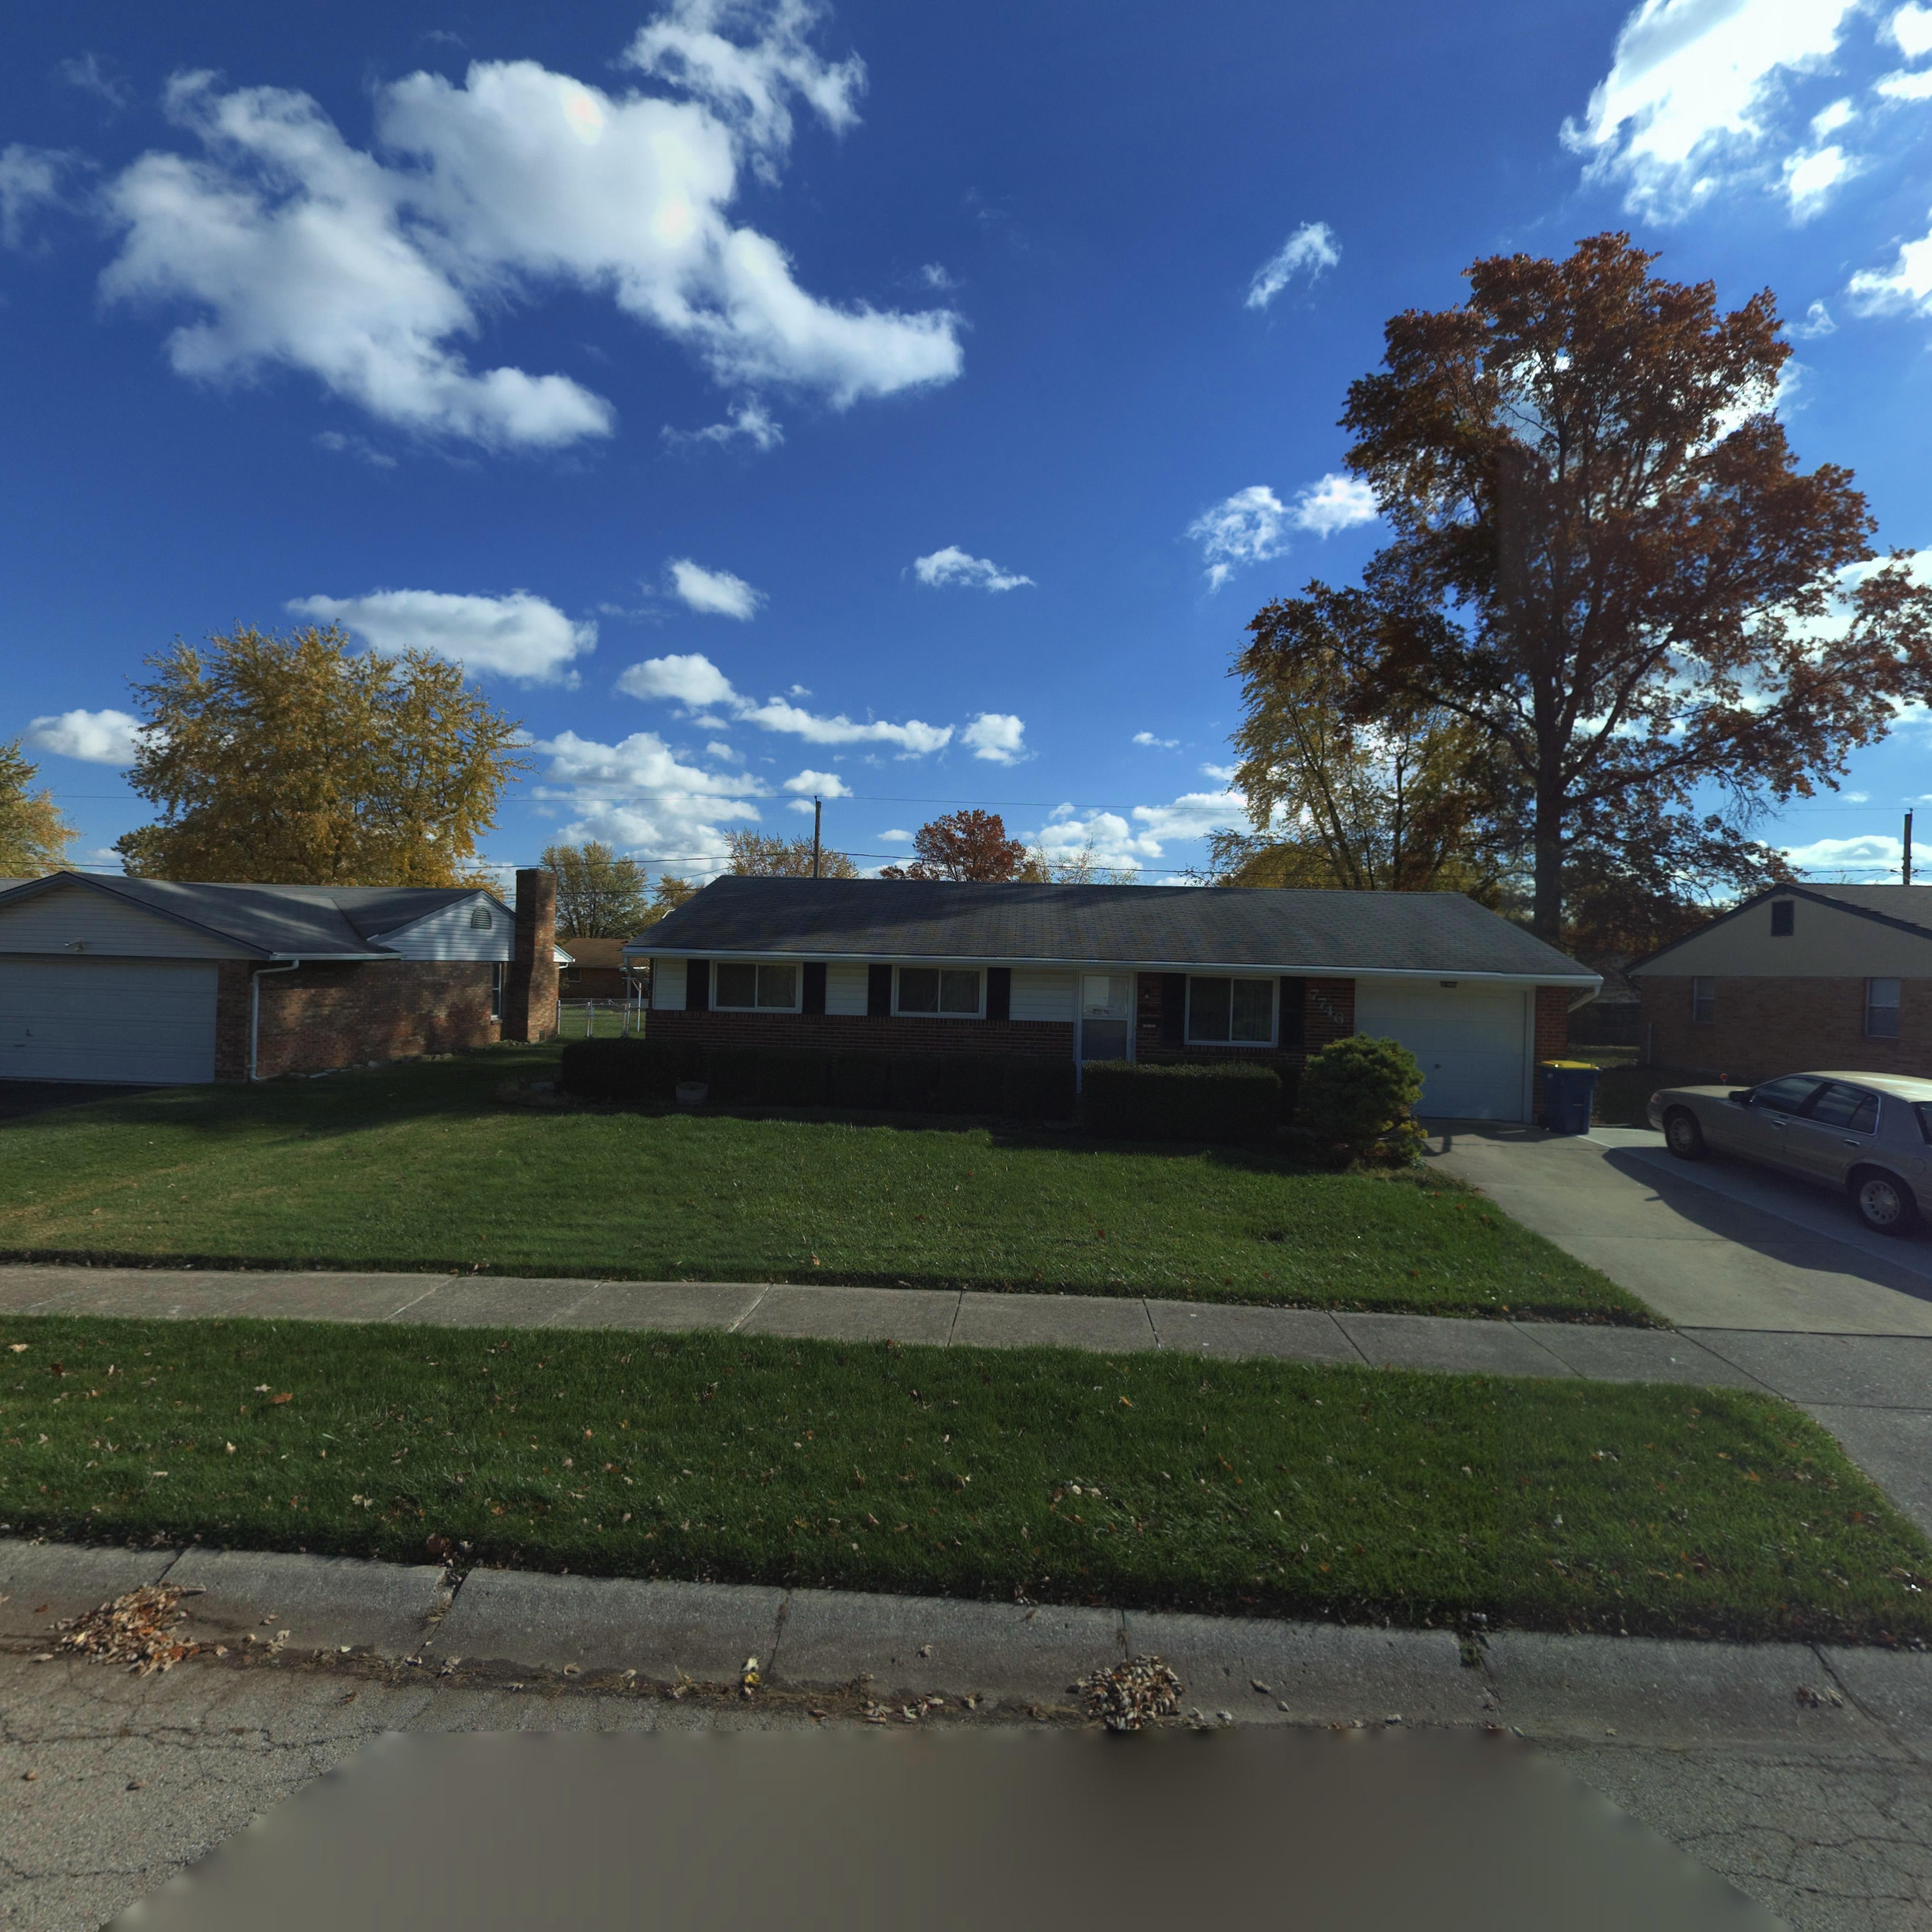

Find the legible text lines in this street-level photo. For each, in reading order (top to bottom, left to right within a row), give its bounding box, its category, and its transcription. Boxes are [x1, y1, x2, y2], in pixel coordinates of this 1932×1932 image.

[1309, 988, 1346, 1026] StreetNumber: 7746